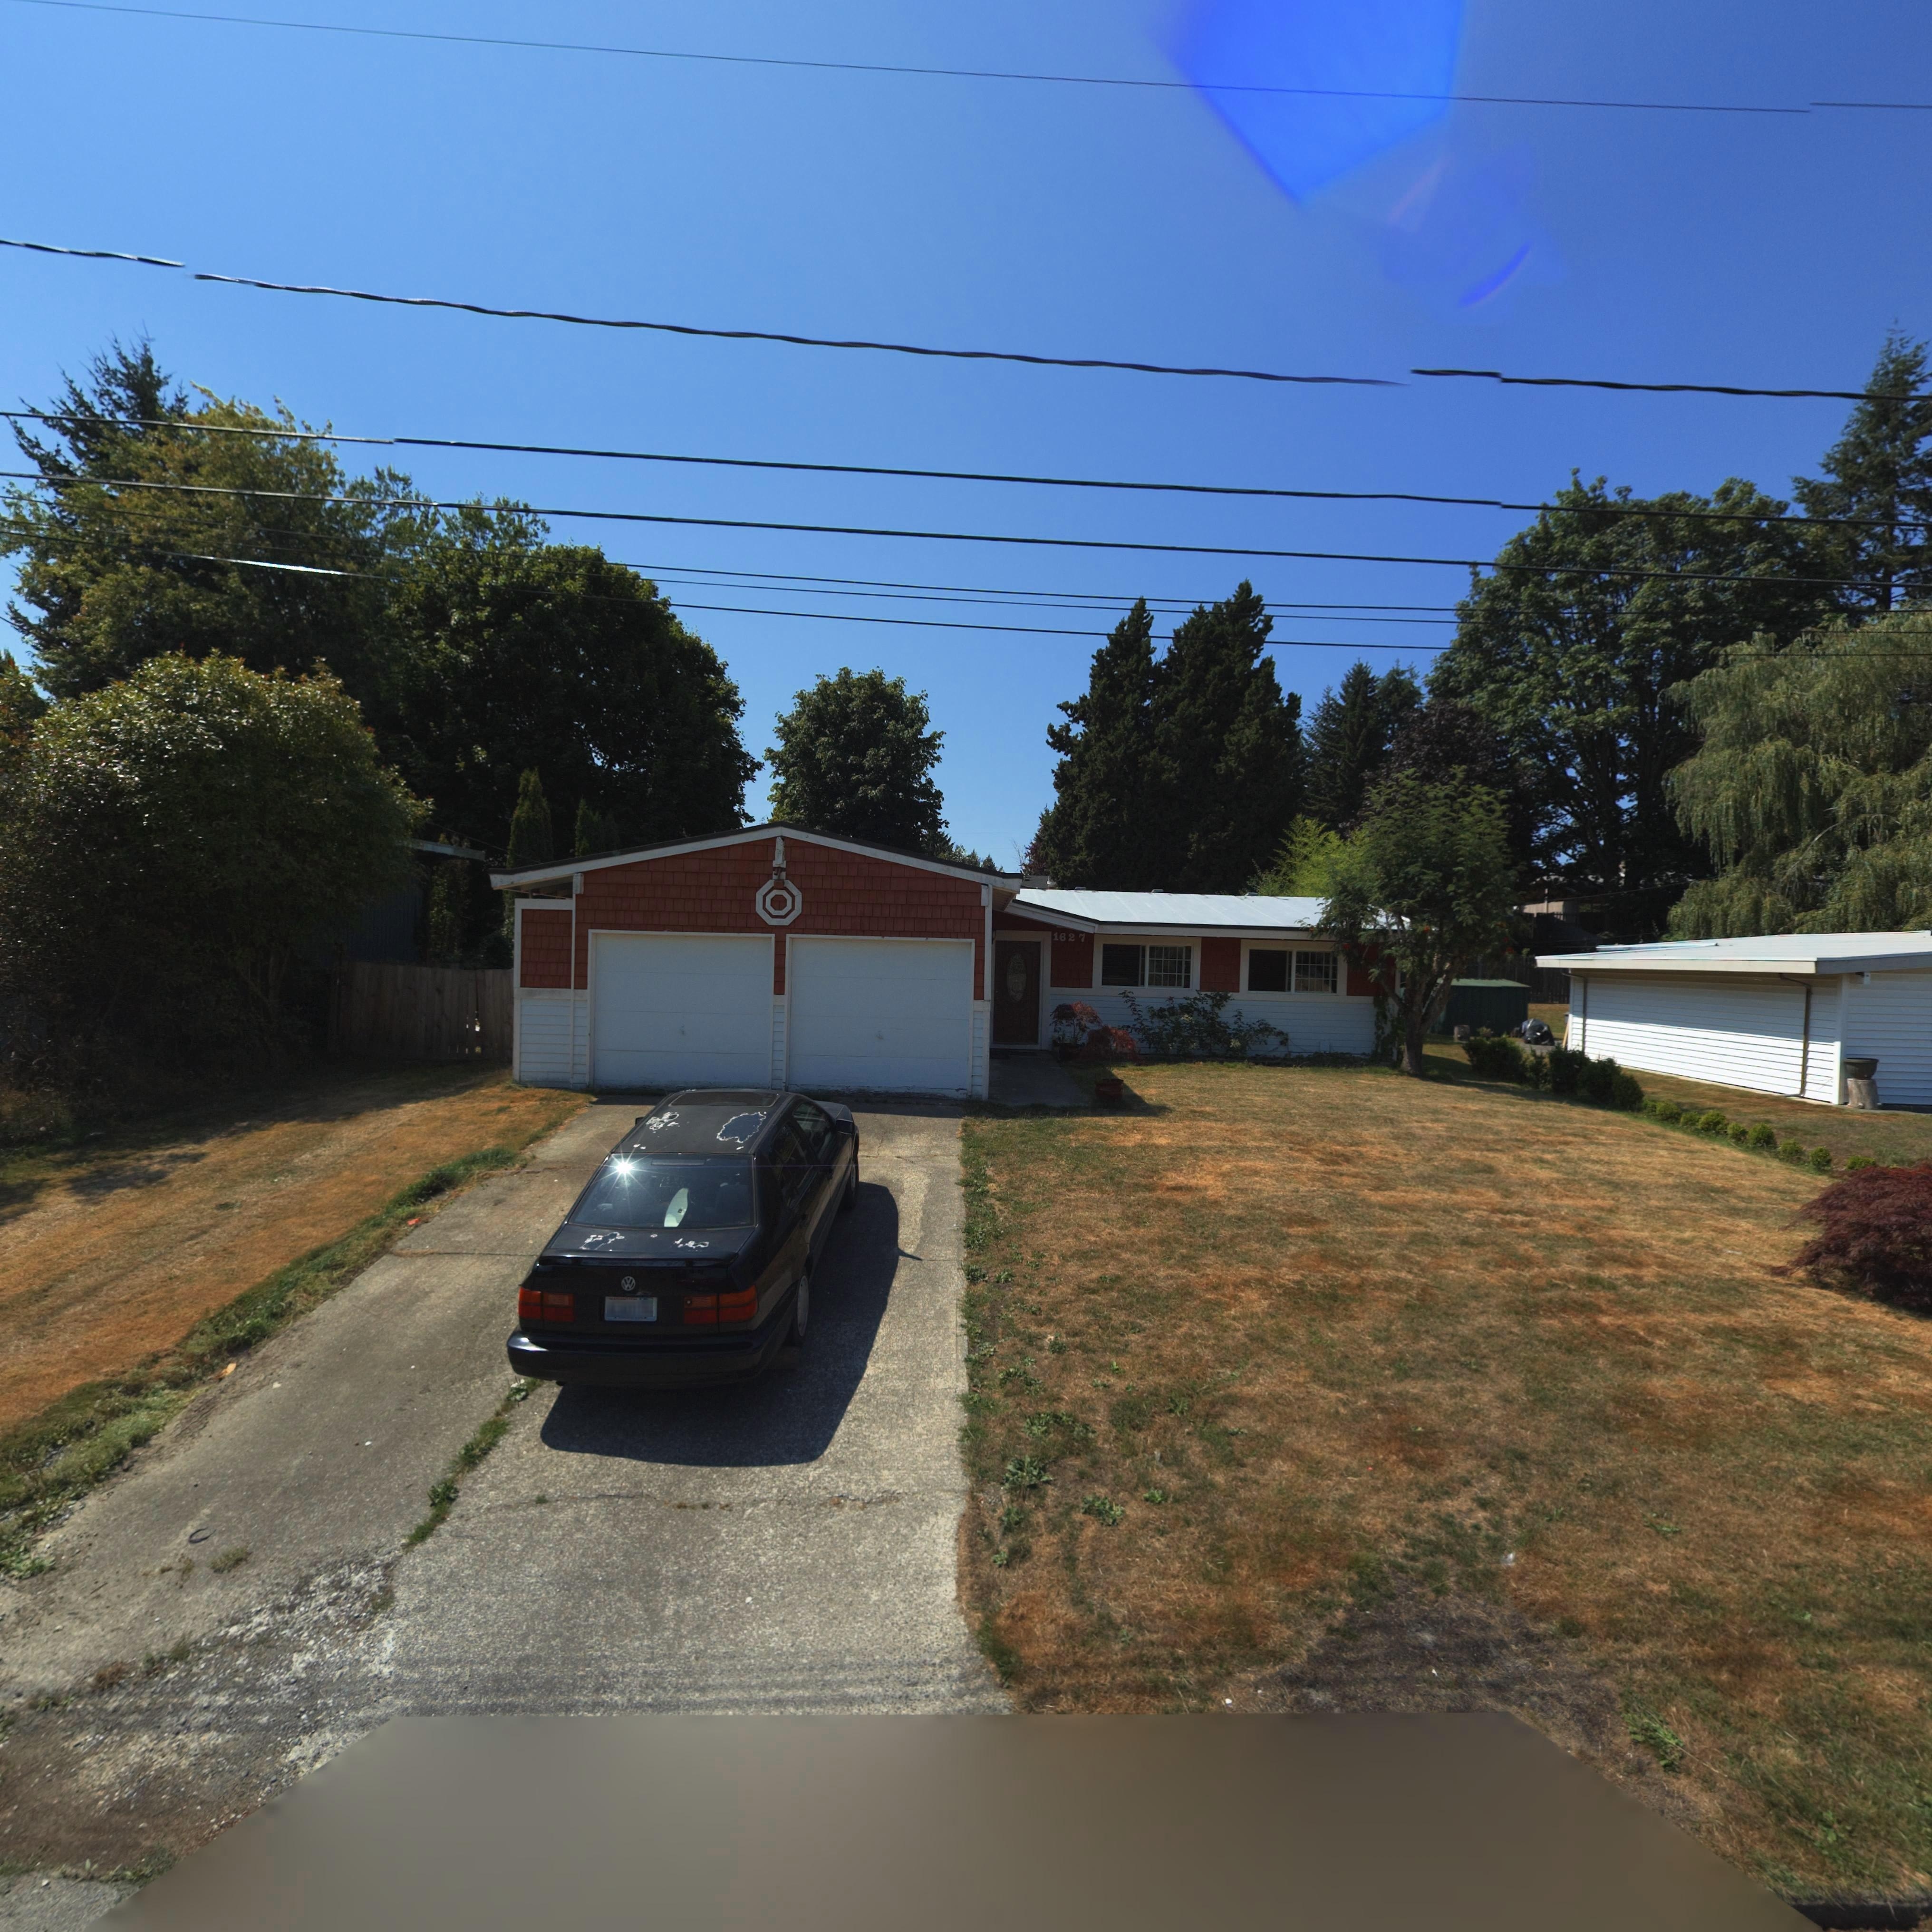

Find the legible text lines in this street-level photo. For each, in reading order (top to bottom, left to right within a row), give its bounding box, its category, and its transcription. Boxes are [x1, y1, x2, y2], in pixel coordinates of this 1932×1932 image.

[1053, 932, 1085, 942] StreetNumber: 1627